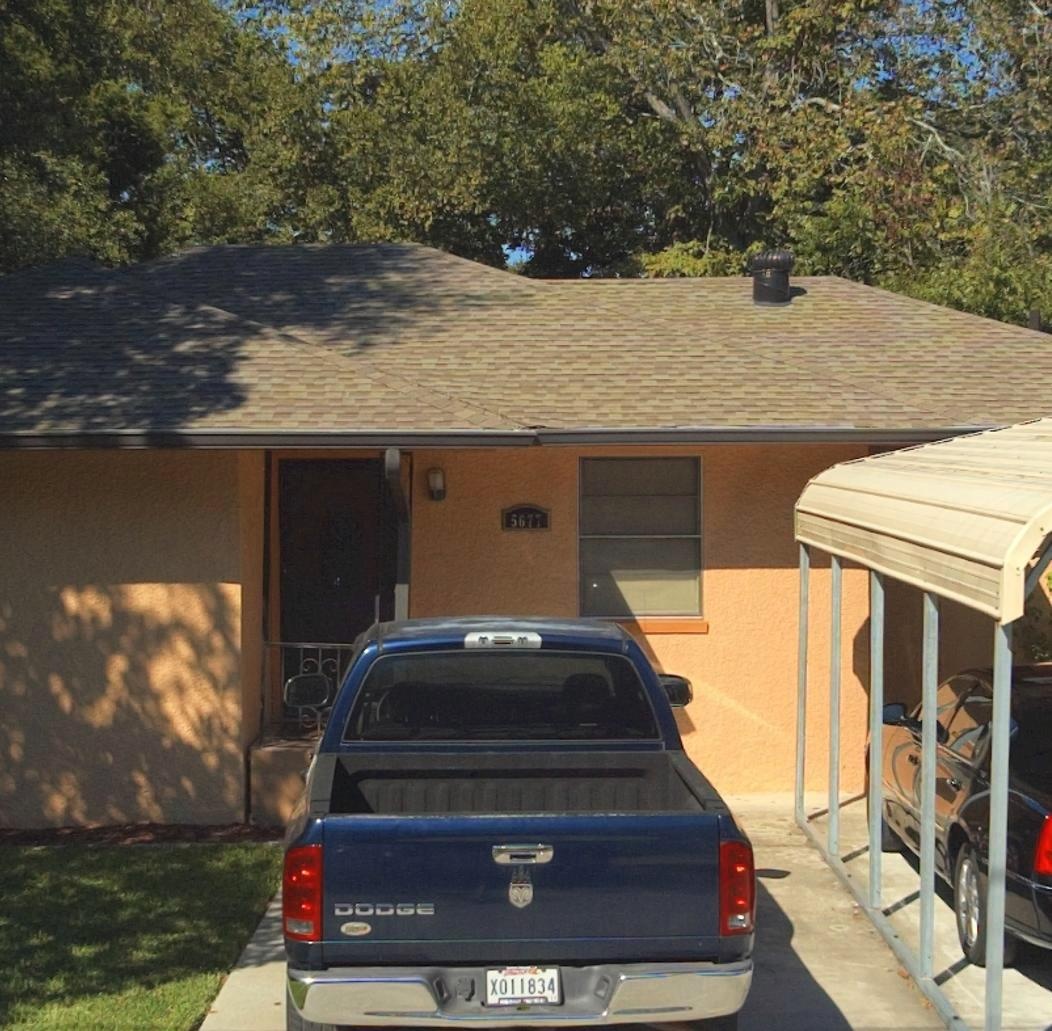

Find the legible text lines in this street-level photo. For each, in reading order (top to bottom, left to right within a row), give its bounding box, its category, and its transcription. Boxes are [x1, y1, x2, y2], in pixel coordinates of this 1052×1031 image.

[509, 512, 543, 529] StreetNumber: 5677
[334, 901, 436, 916] None: DODGE
[489, 977, 556, 996] None: X011834